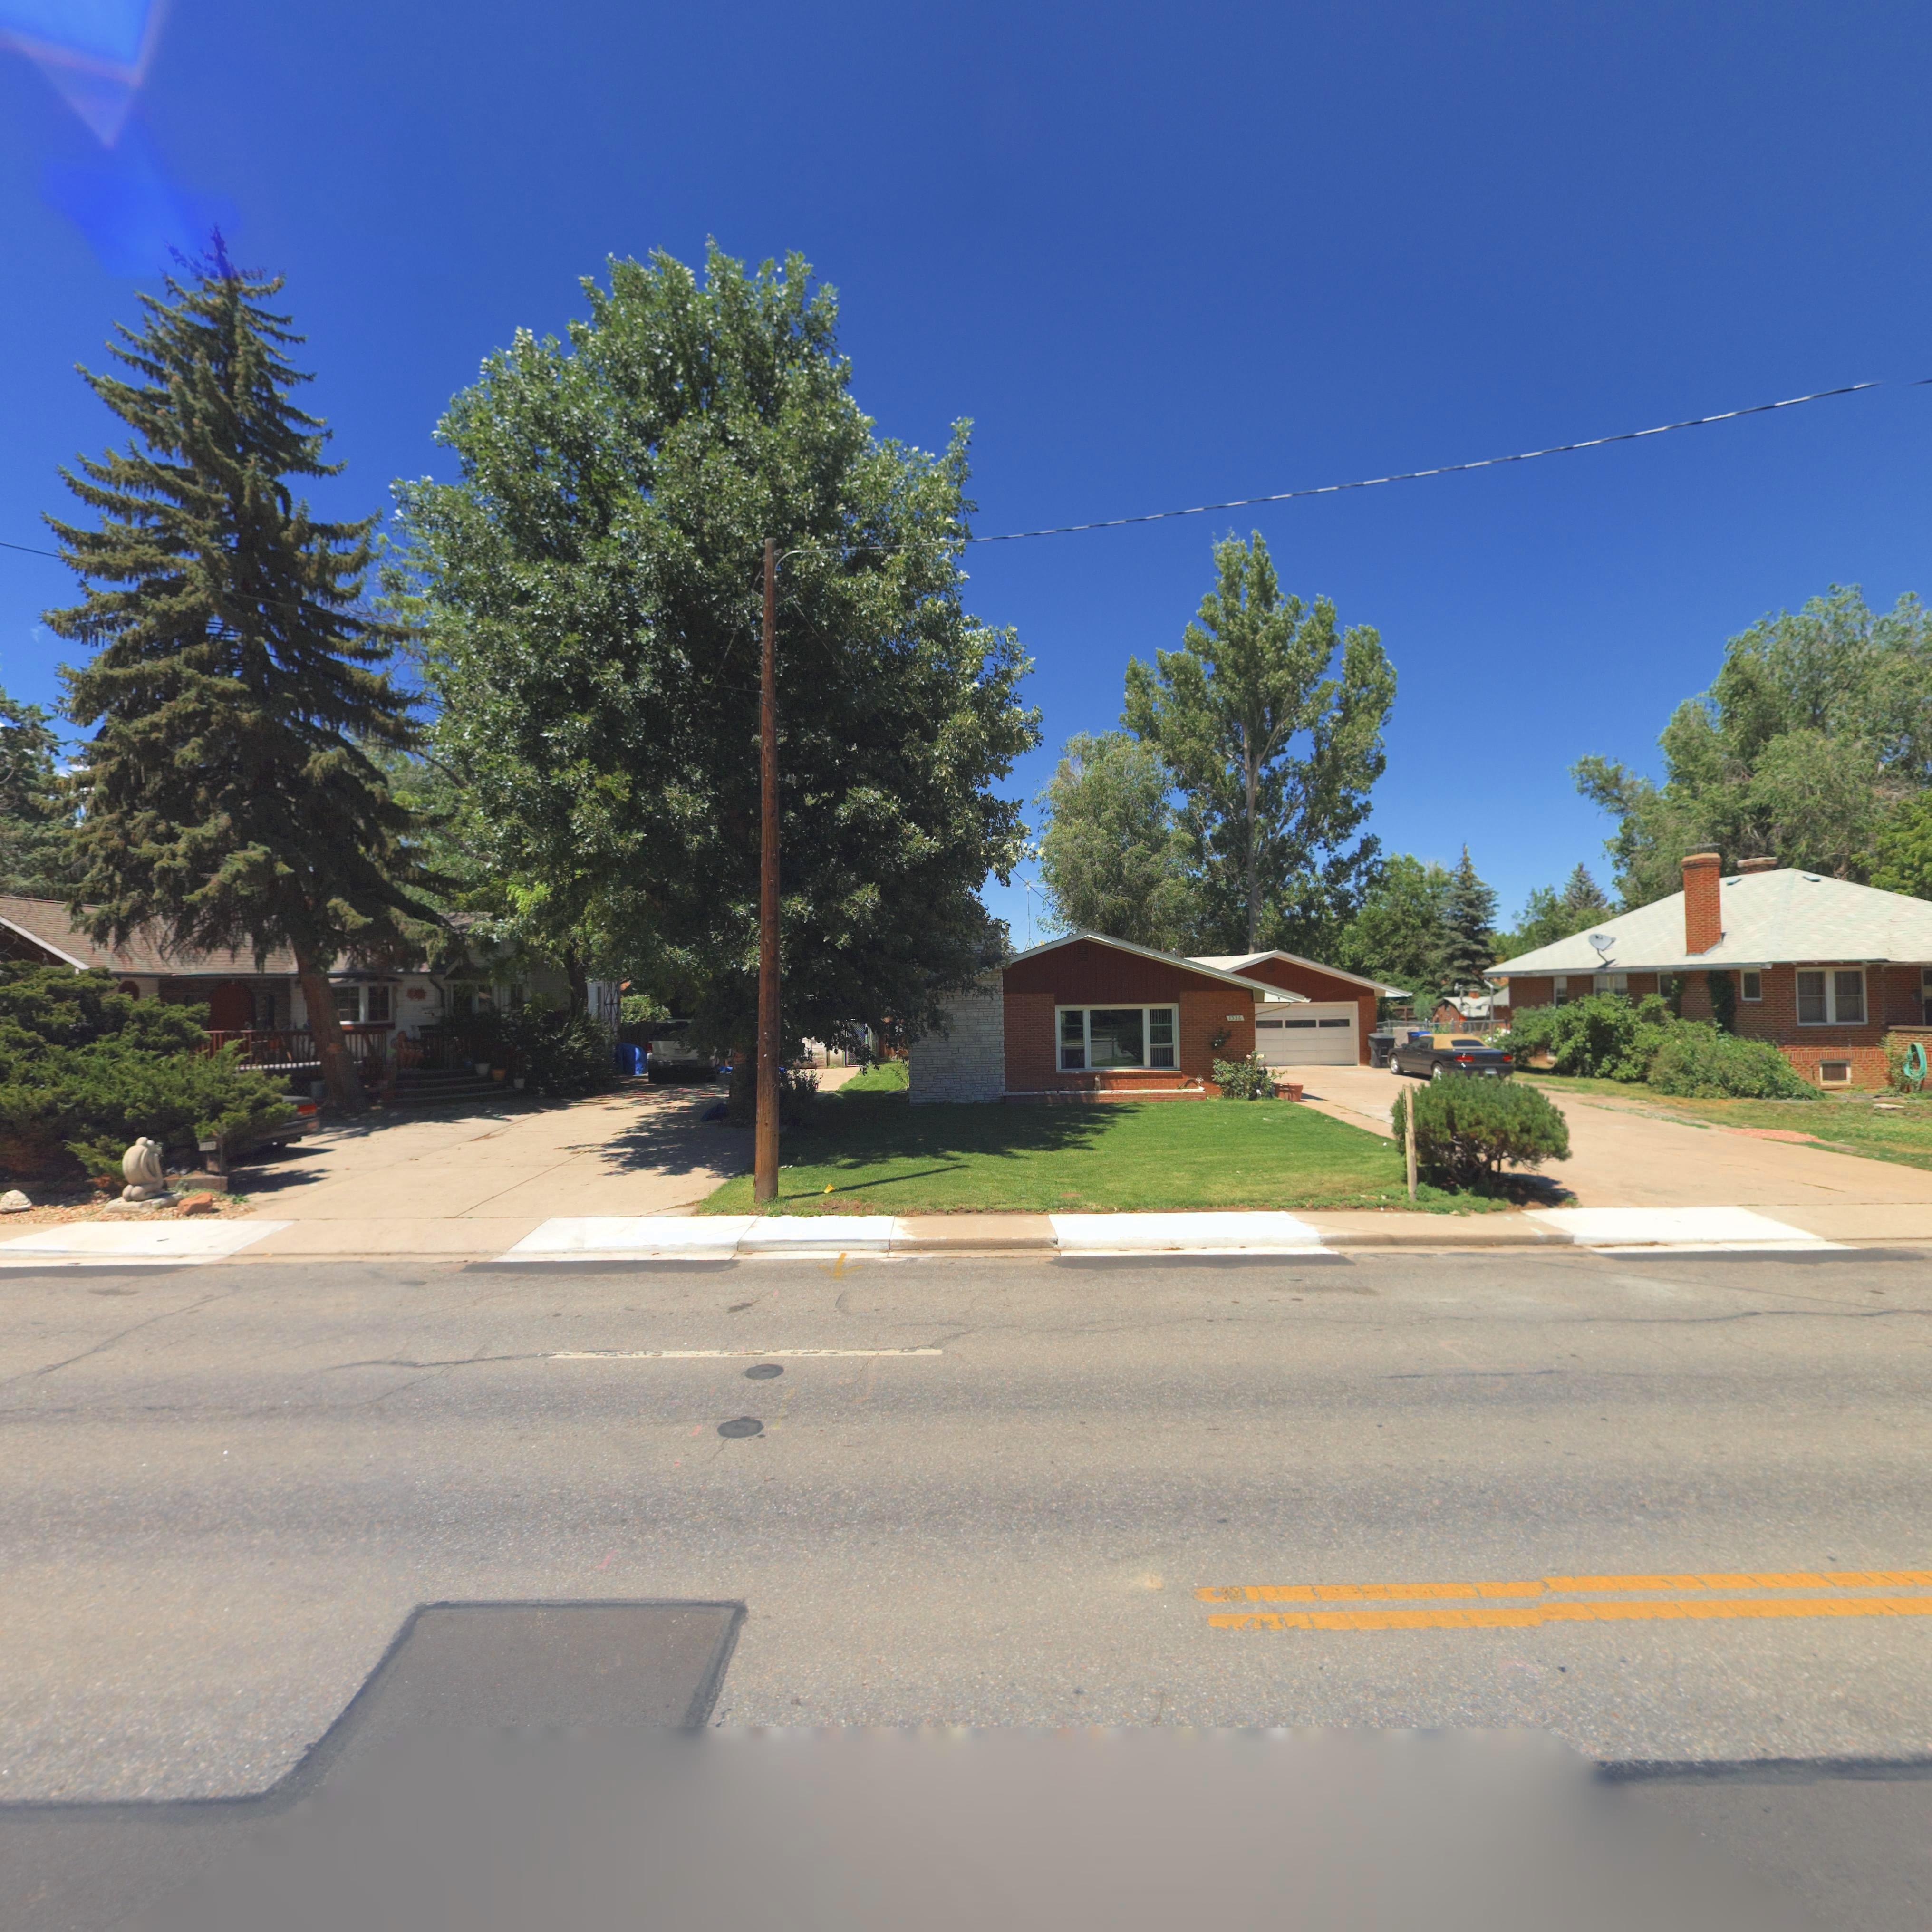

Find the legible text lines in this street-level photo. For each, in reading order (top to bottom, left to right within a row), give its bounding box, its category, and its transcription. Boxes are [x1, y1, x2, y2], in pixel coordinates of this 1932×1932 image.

[1228, 1015, 1241, 1021] StreetNumber: 1336